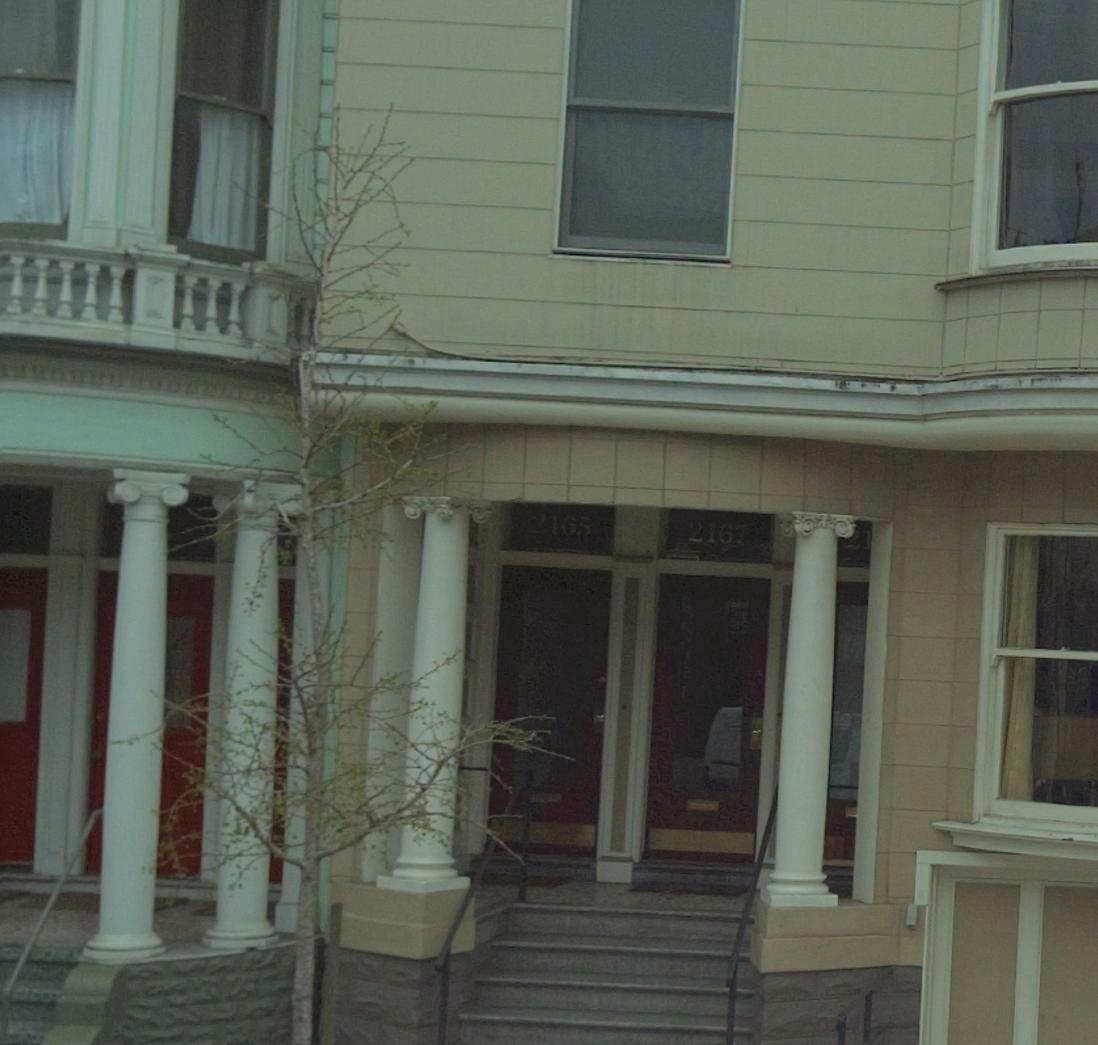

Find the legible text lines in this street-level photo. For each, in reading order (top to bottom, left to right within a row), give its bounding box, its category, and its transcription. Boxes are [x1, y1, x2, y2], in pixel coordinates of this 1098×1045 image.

[527, 510, 593, 541] StreetNumber: 2165
[686, 517, 750, 548] StreetNumber: 2167
[843, 529, 873, 551] StreetNumber: 21